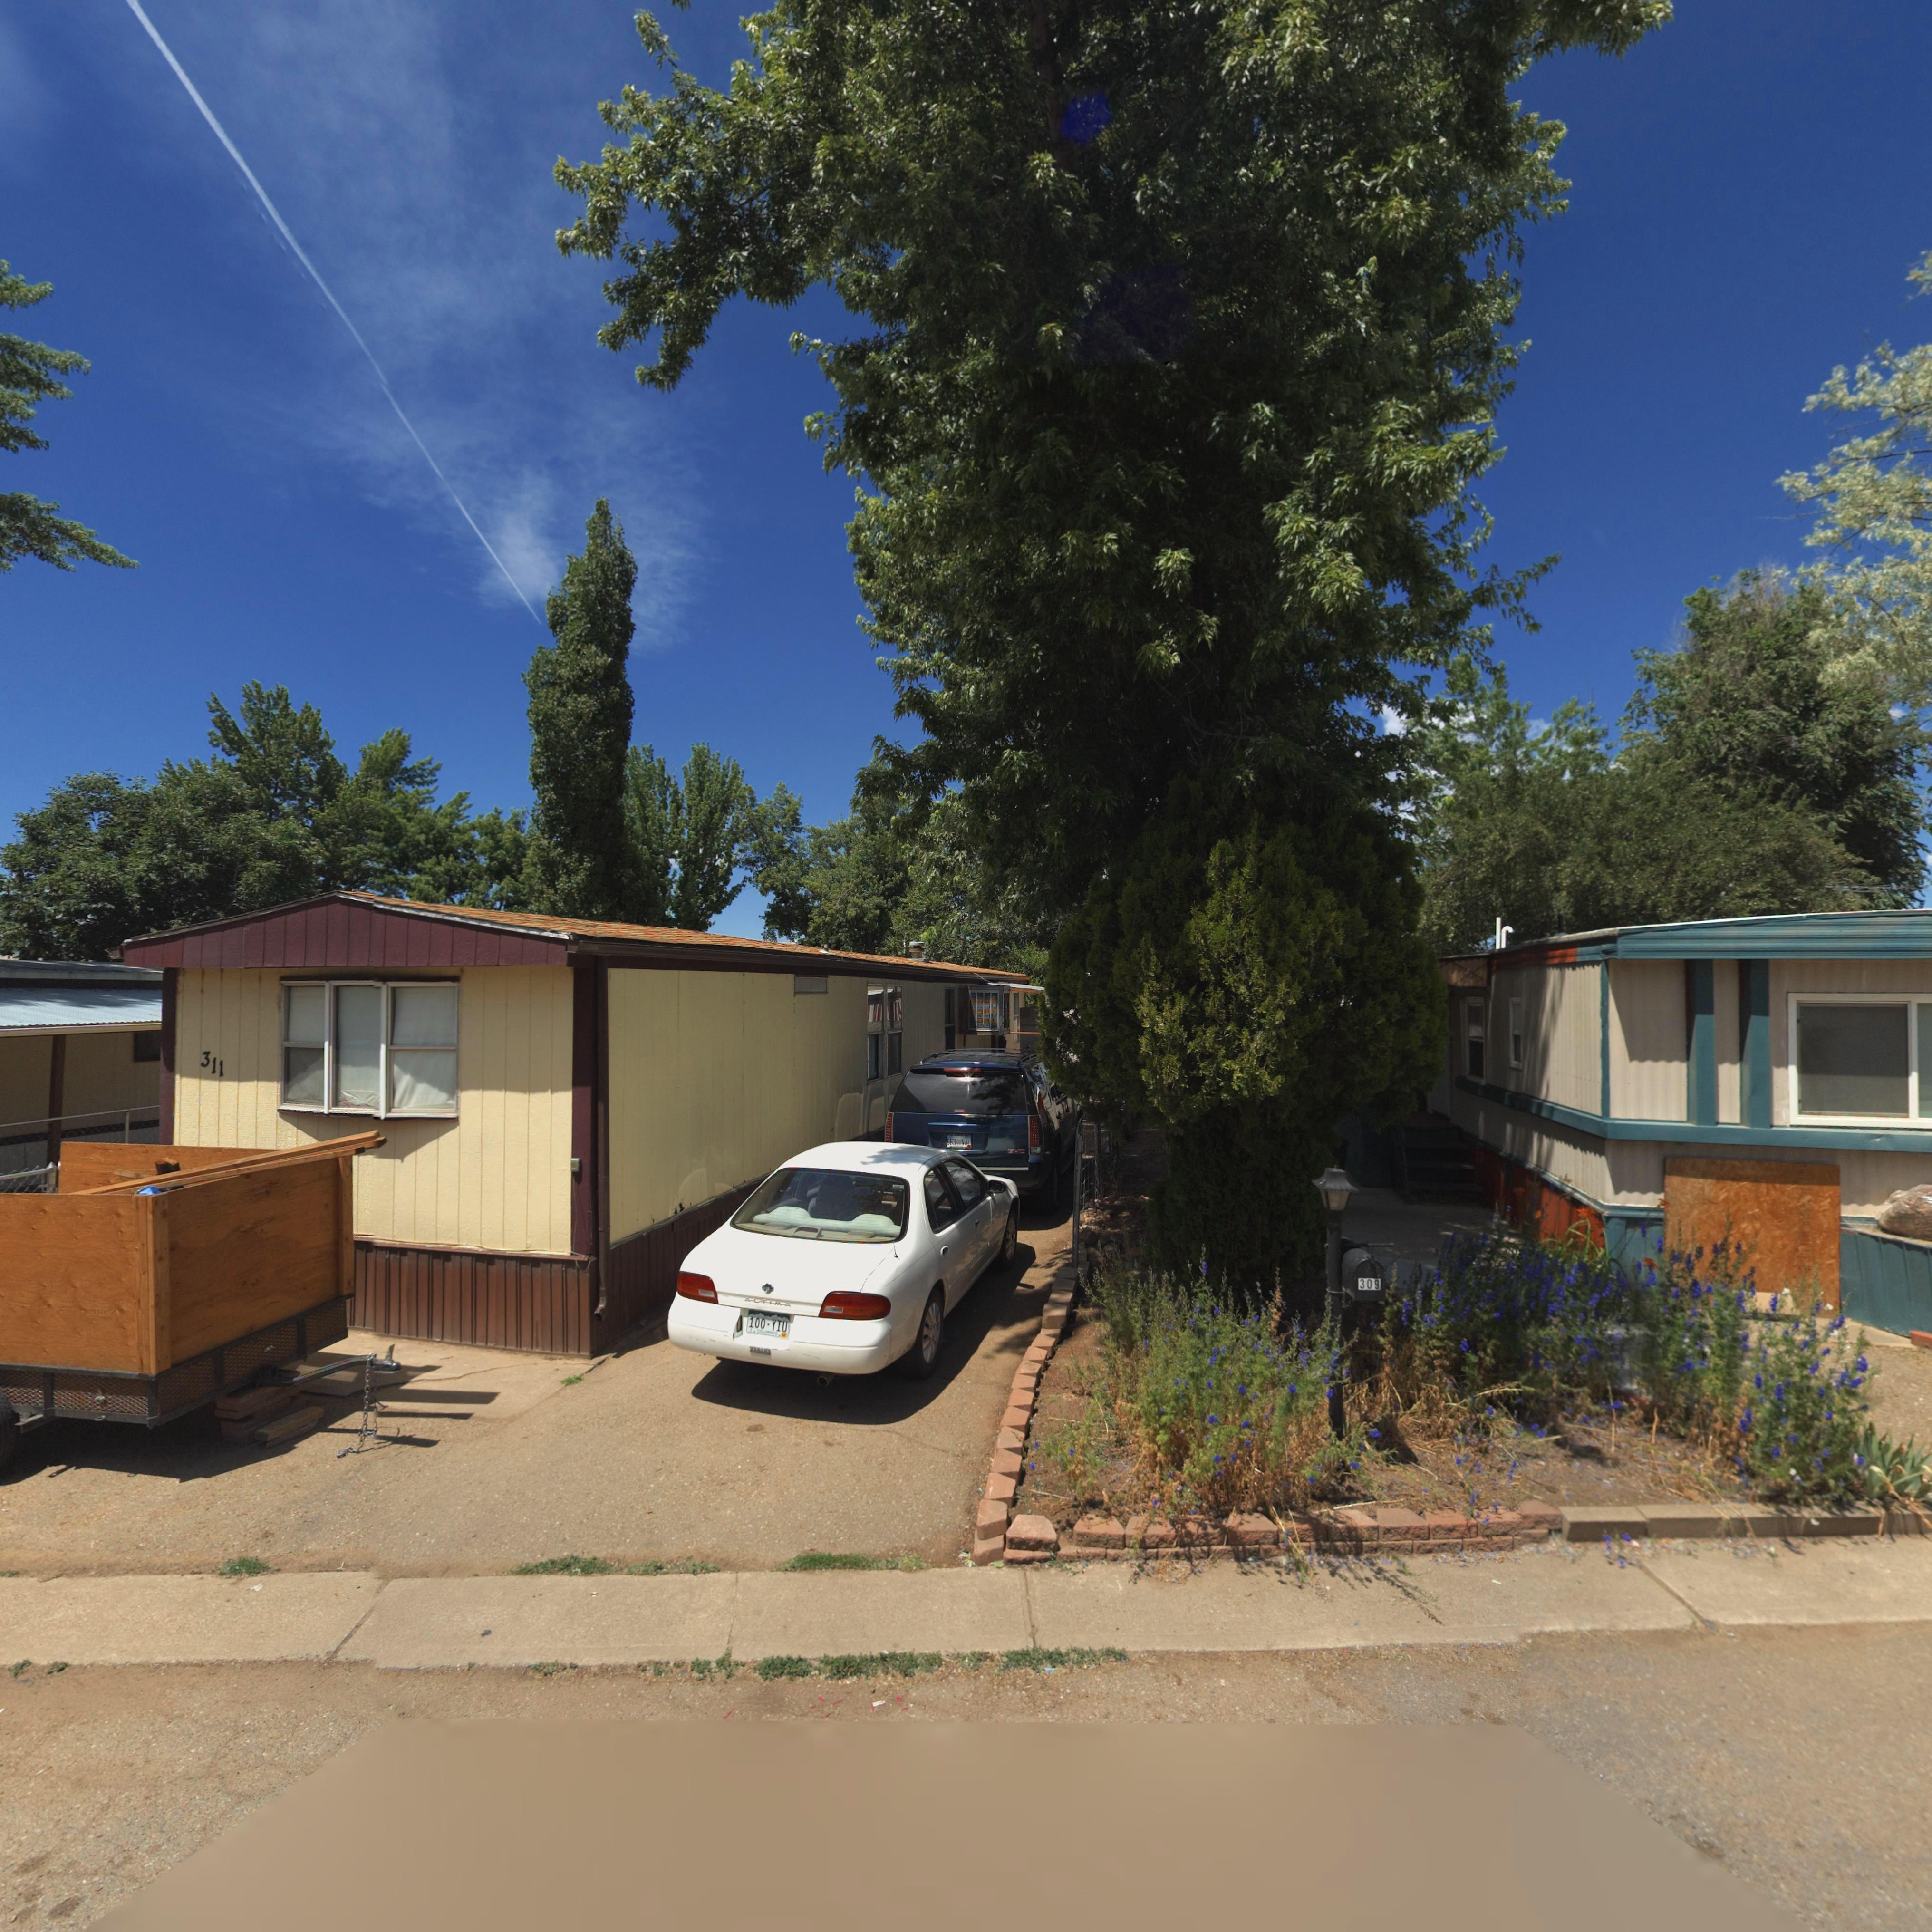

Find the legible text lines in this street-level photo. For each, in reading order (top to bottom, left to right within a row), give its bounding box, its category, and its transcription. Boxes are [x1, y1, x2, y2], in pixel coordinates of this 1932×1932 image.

[201, 1051, 224, 1077] StreetNumber: 311
[1359, 1278, 1379, 1289] StreetNumber: 309